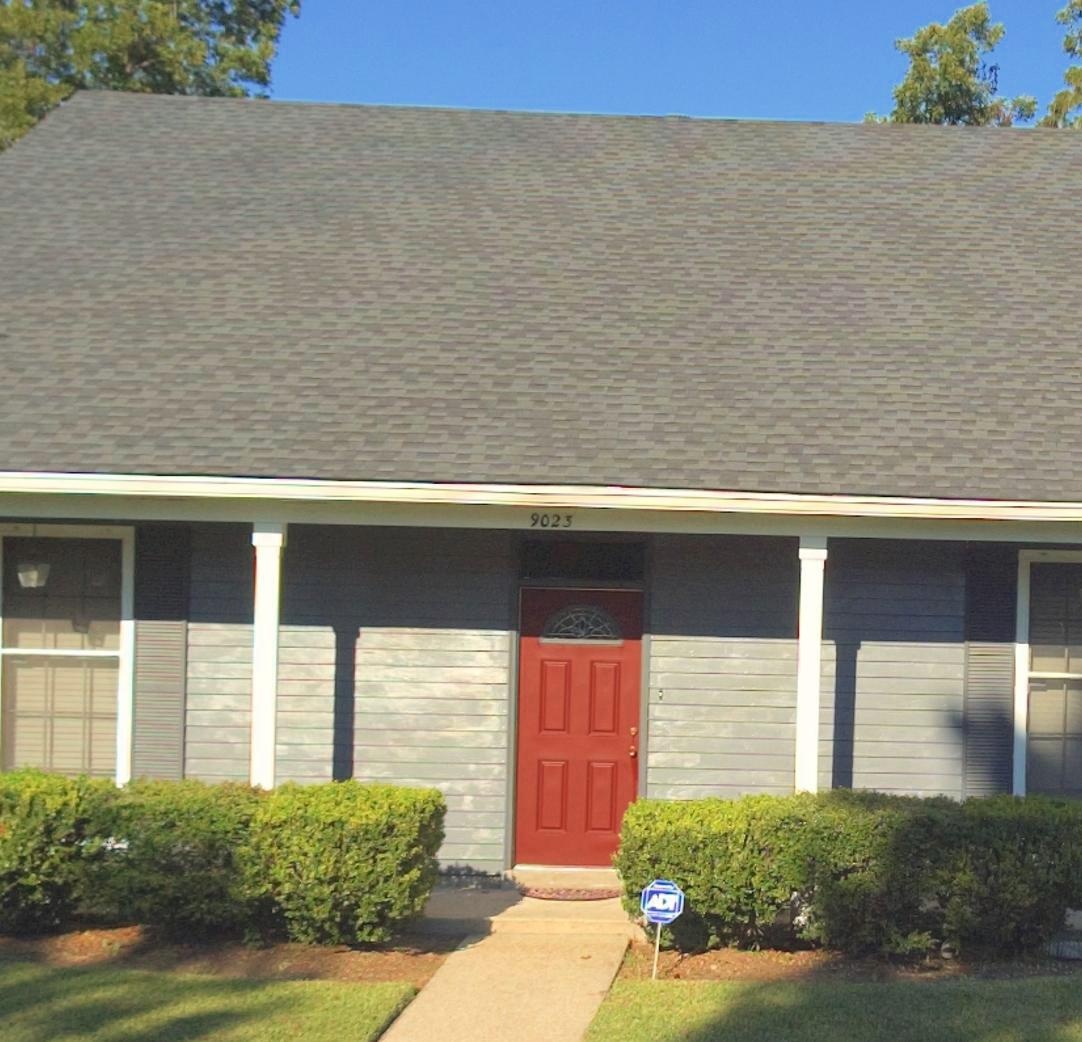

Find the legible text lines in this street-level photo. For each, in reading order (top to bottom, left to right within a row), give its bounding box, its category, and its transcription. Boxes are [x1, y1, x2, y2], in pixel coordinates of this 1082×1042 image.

[529, 511, 574, 528] StreetNumber: 9023
[647, 893, 677, 912] None: ADT